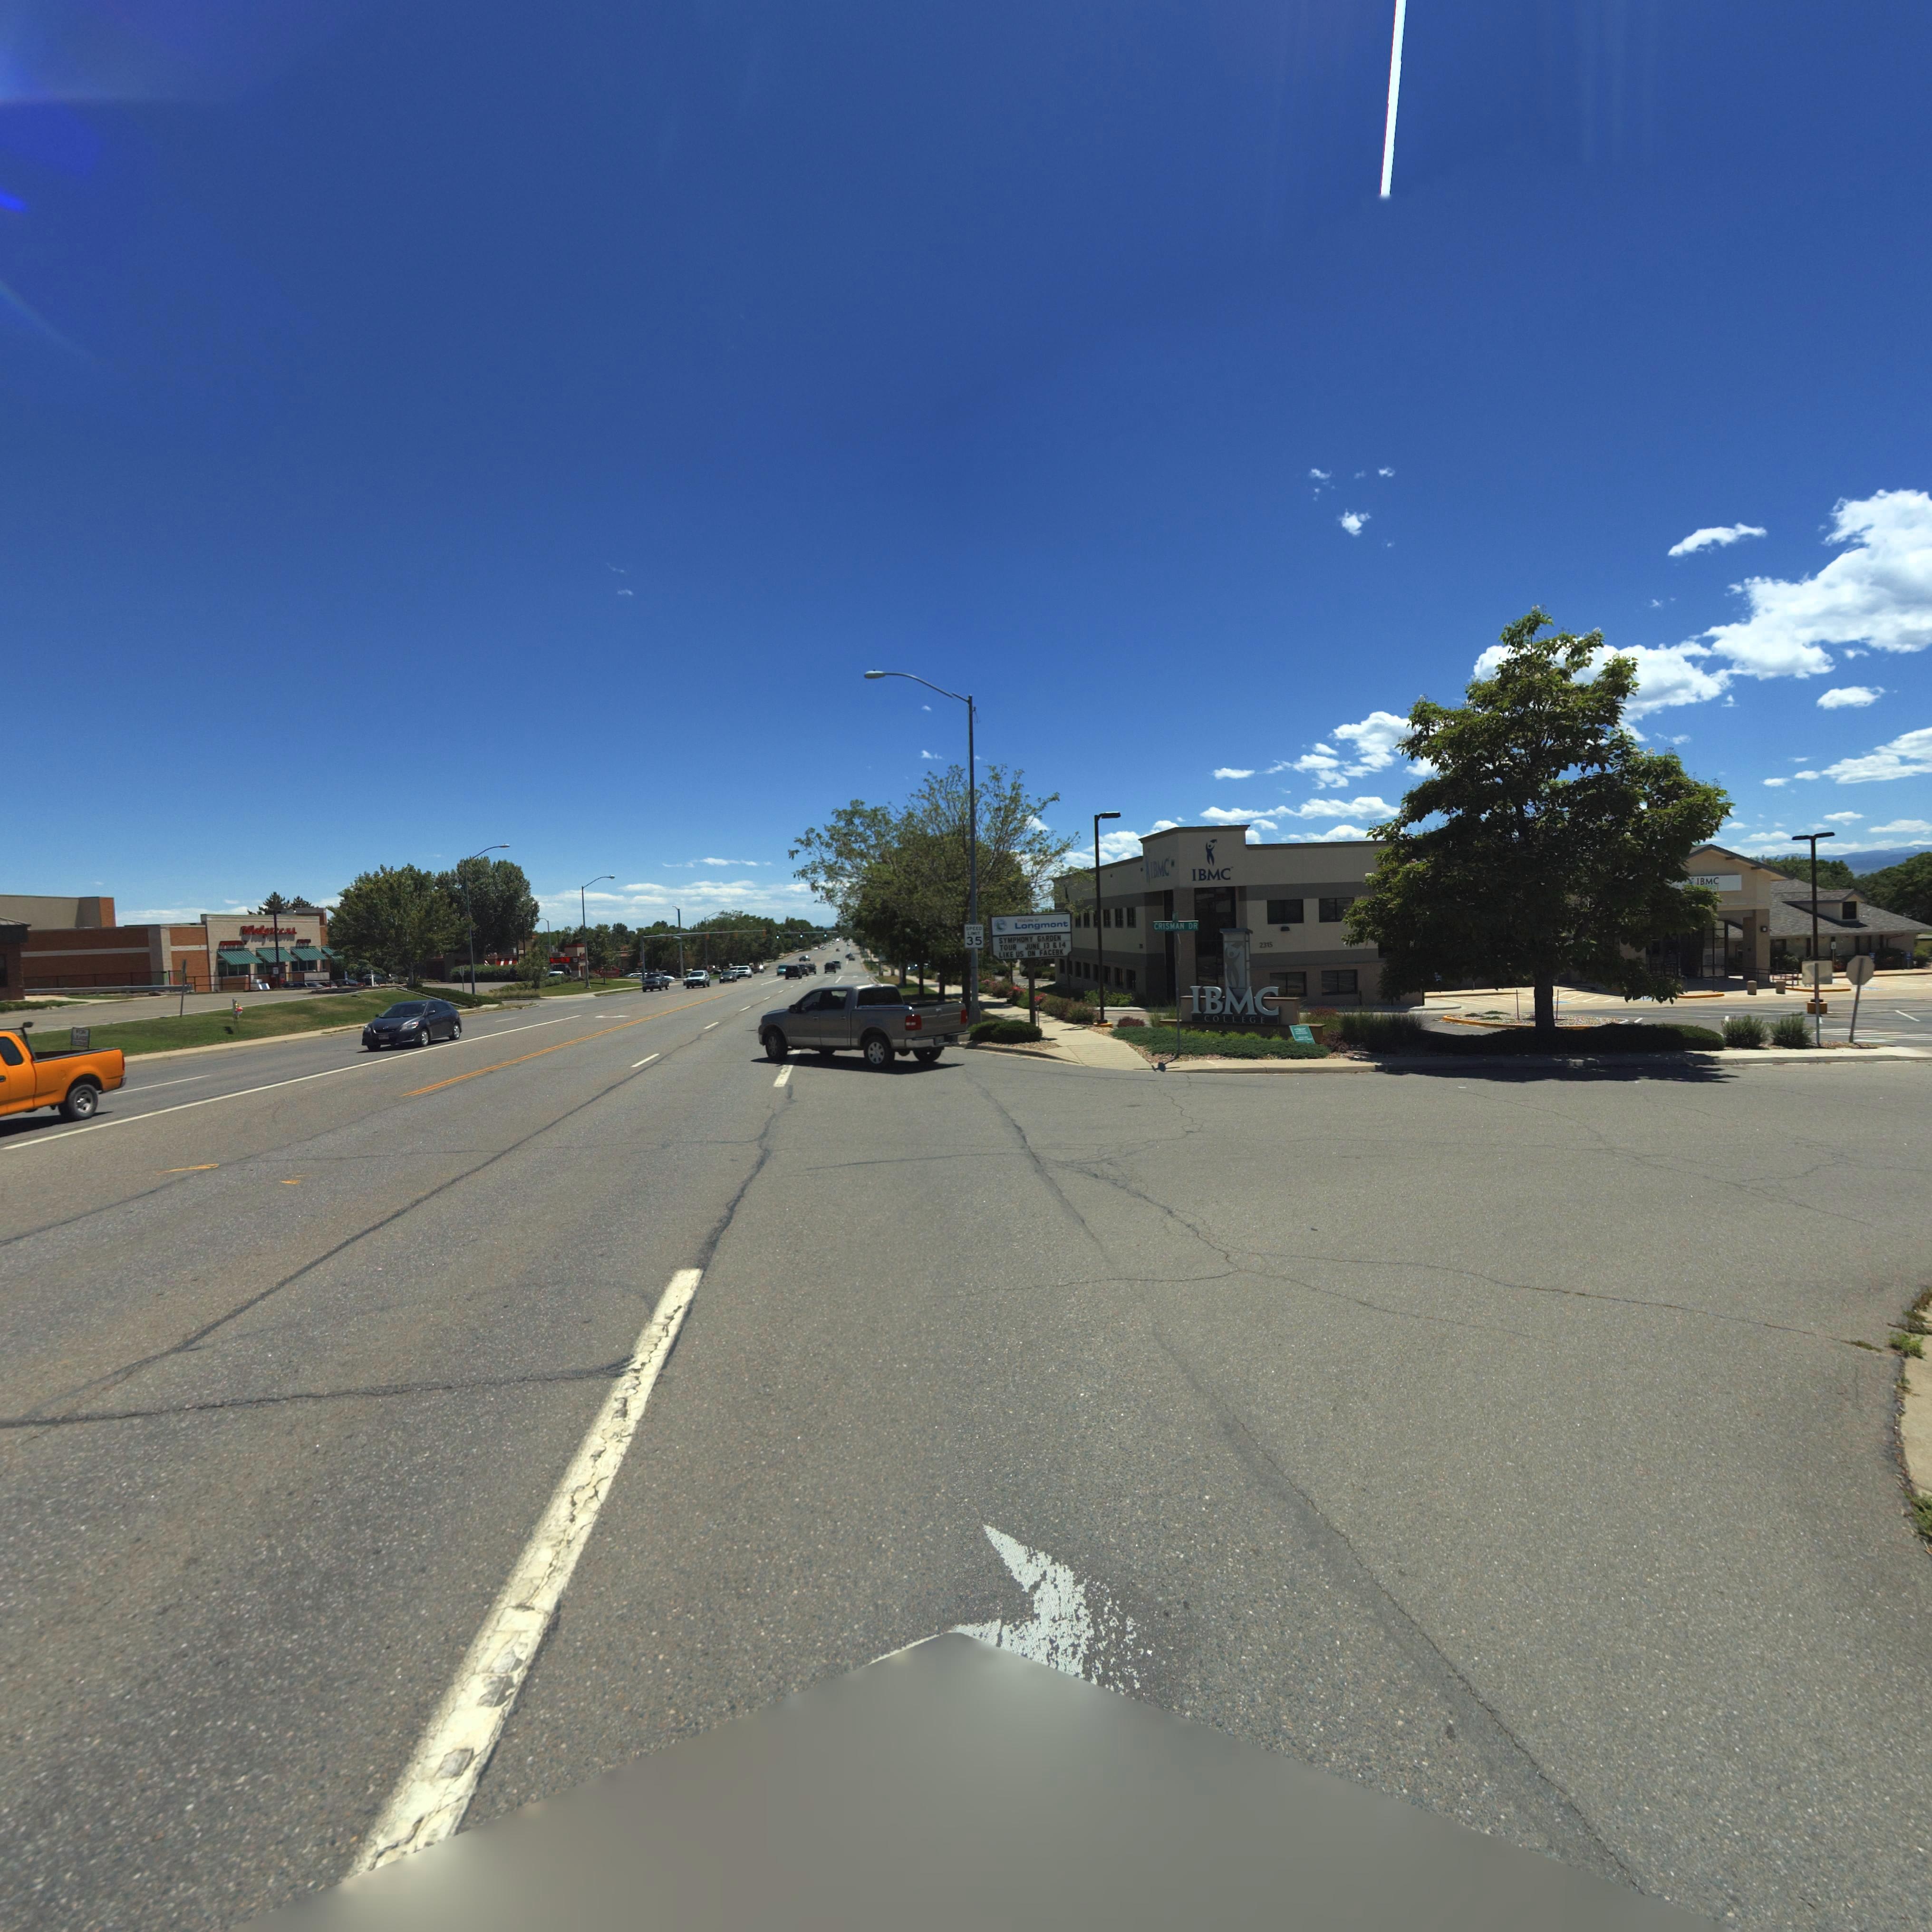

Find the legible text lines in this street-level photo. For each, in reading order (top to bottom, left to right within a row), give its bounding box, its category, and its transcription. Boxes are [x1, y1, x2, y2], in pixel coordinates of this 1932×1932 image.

[1150, 857, 1170, 879] BusinessName: IBMC
[1191, 867, 1231, 881] BusinessName: IBMC
[1696, 877, 1719, 885] BusinessName: IBMC
[241, 924, 298, 936] BusinessName: Walgr**ns
[1153, 922, 1198, 929] StreetName: CRISMAN DR
[1259, 941, 1273, 948] StreetNumber: 2315
[1189, 986, 1280, 1016] BusinessName: IBMC
[1204, 1015, 1265, 1024] BusinessName: COLLEGE